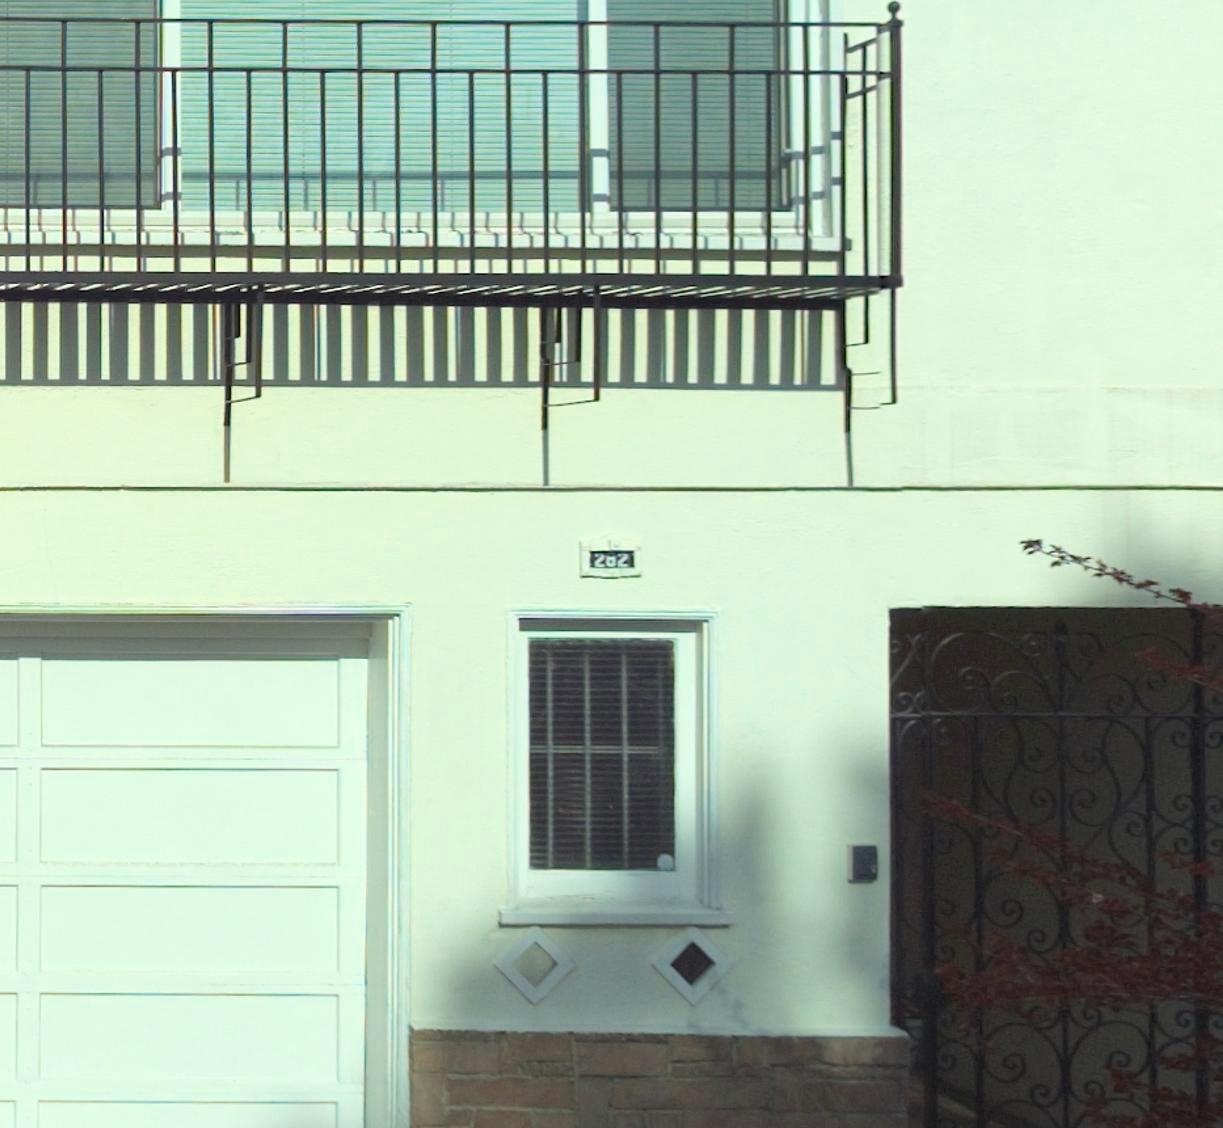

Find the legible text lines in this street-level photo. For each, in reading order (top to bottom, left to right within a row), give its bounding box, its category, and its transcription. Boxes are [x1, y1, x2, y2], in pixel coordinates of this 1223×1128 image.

[590, 553, 633, 568] StreetNumber: 282